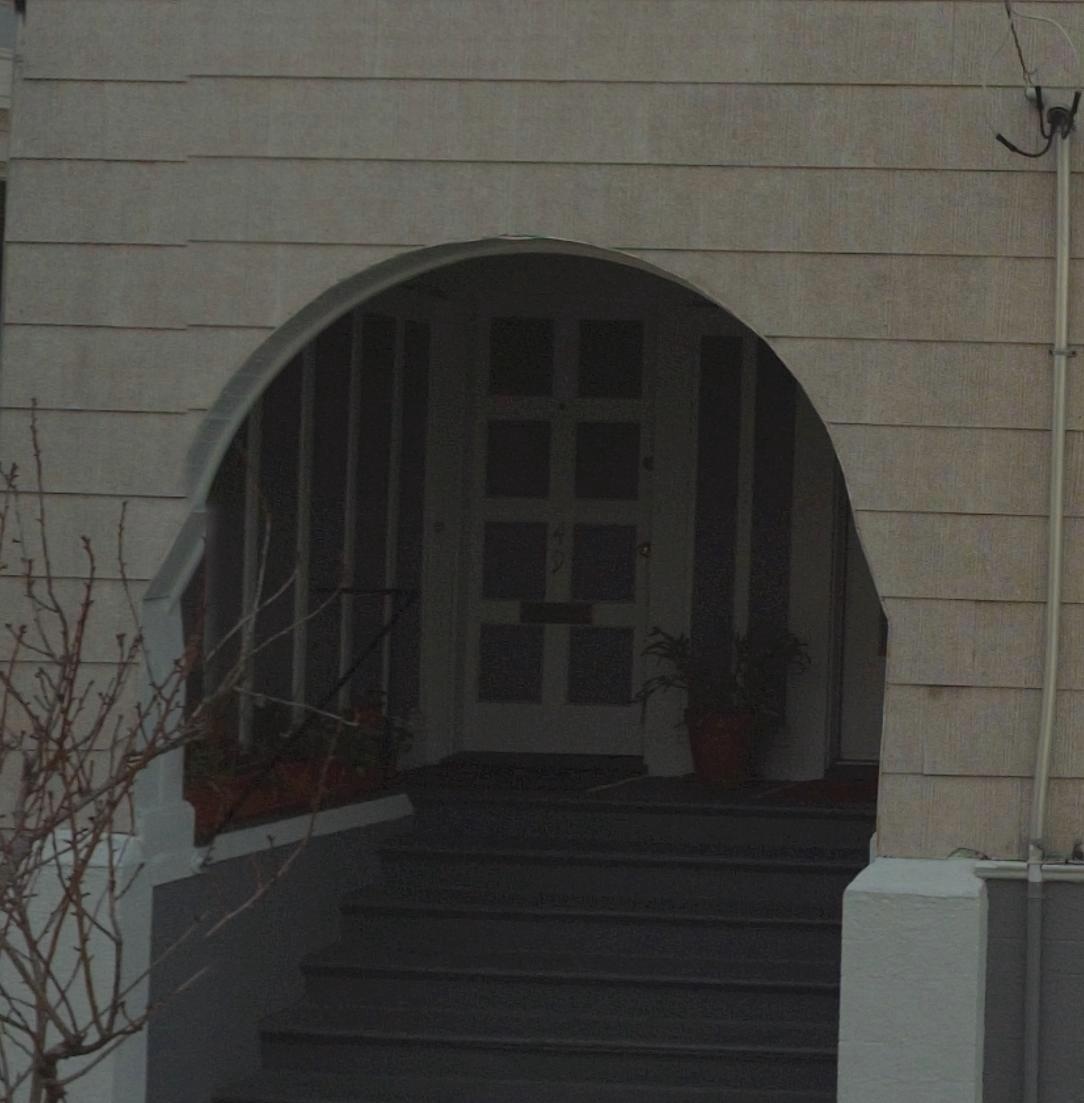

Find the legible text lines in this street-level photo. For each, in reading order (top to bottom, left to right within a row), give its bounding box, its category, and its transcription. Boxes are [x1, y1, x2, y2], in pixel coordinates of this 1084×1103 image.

[549, 521, 568, 579] StreetNumber: 49